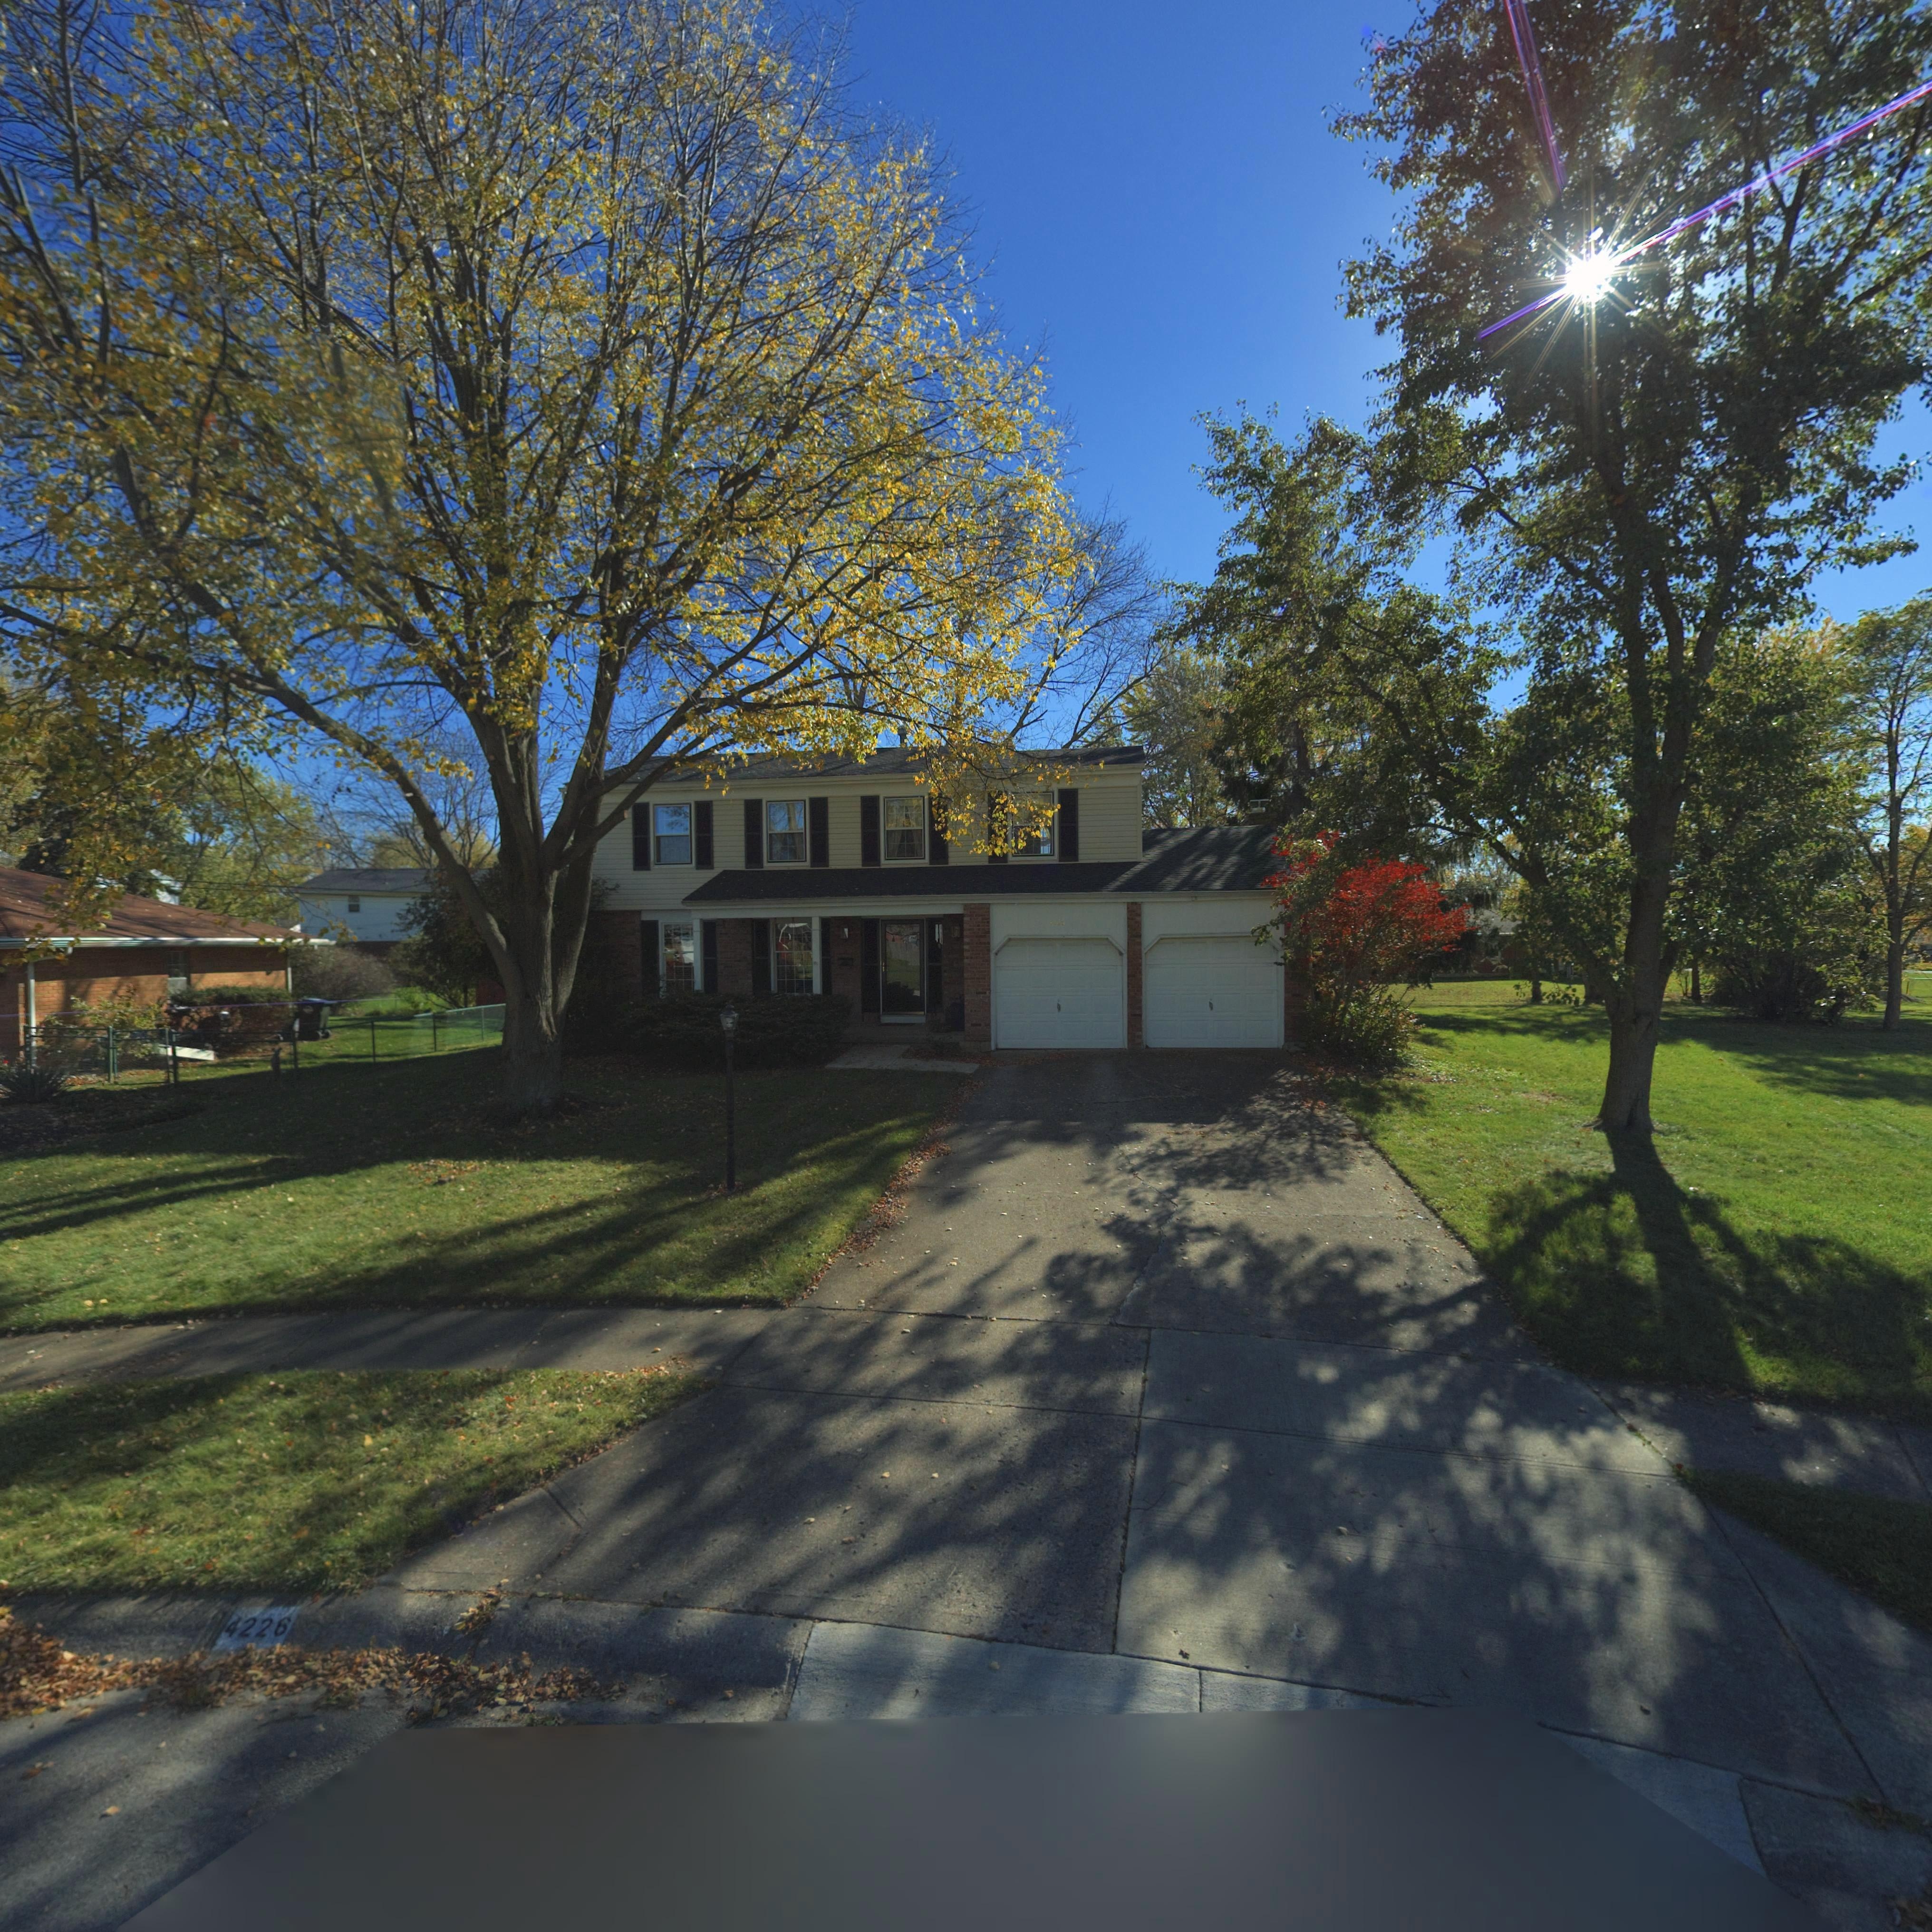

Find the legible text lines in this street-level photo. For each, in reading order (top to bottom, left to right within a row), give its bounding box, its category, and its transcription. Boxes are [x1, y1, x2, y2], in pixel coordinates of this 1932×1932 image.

[222, 1614, 294, 1640] StreetNumber: 4226